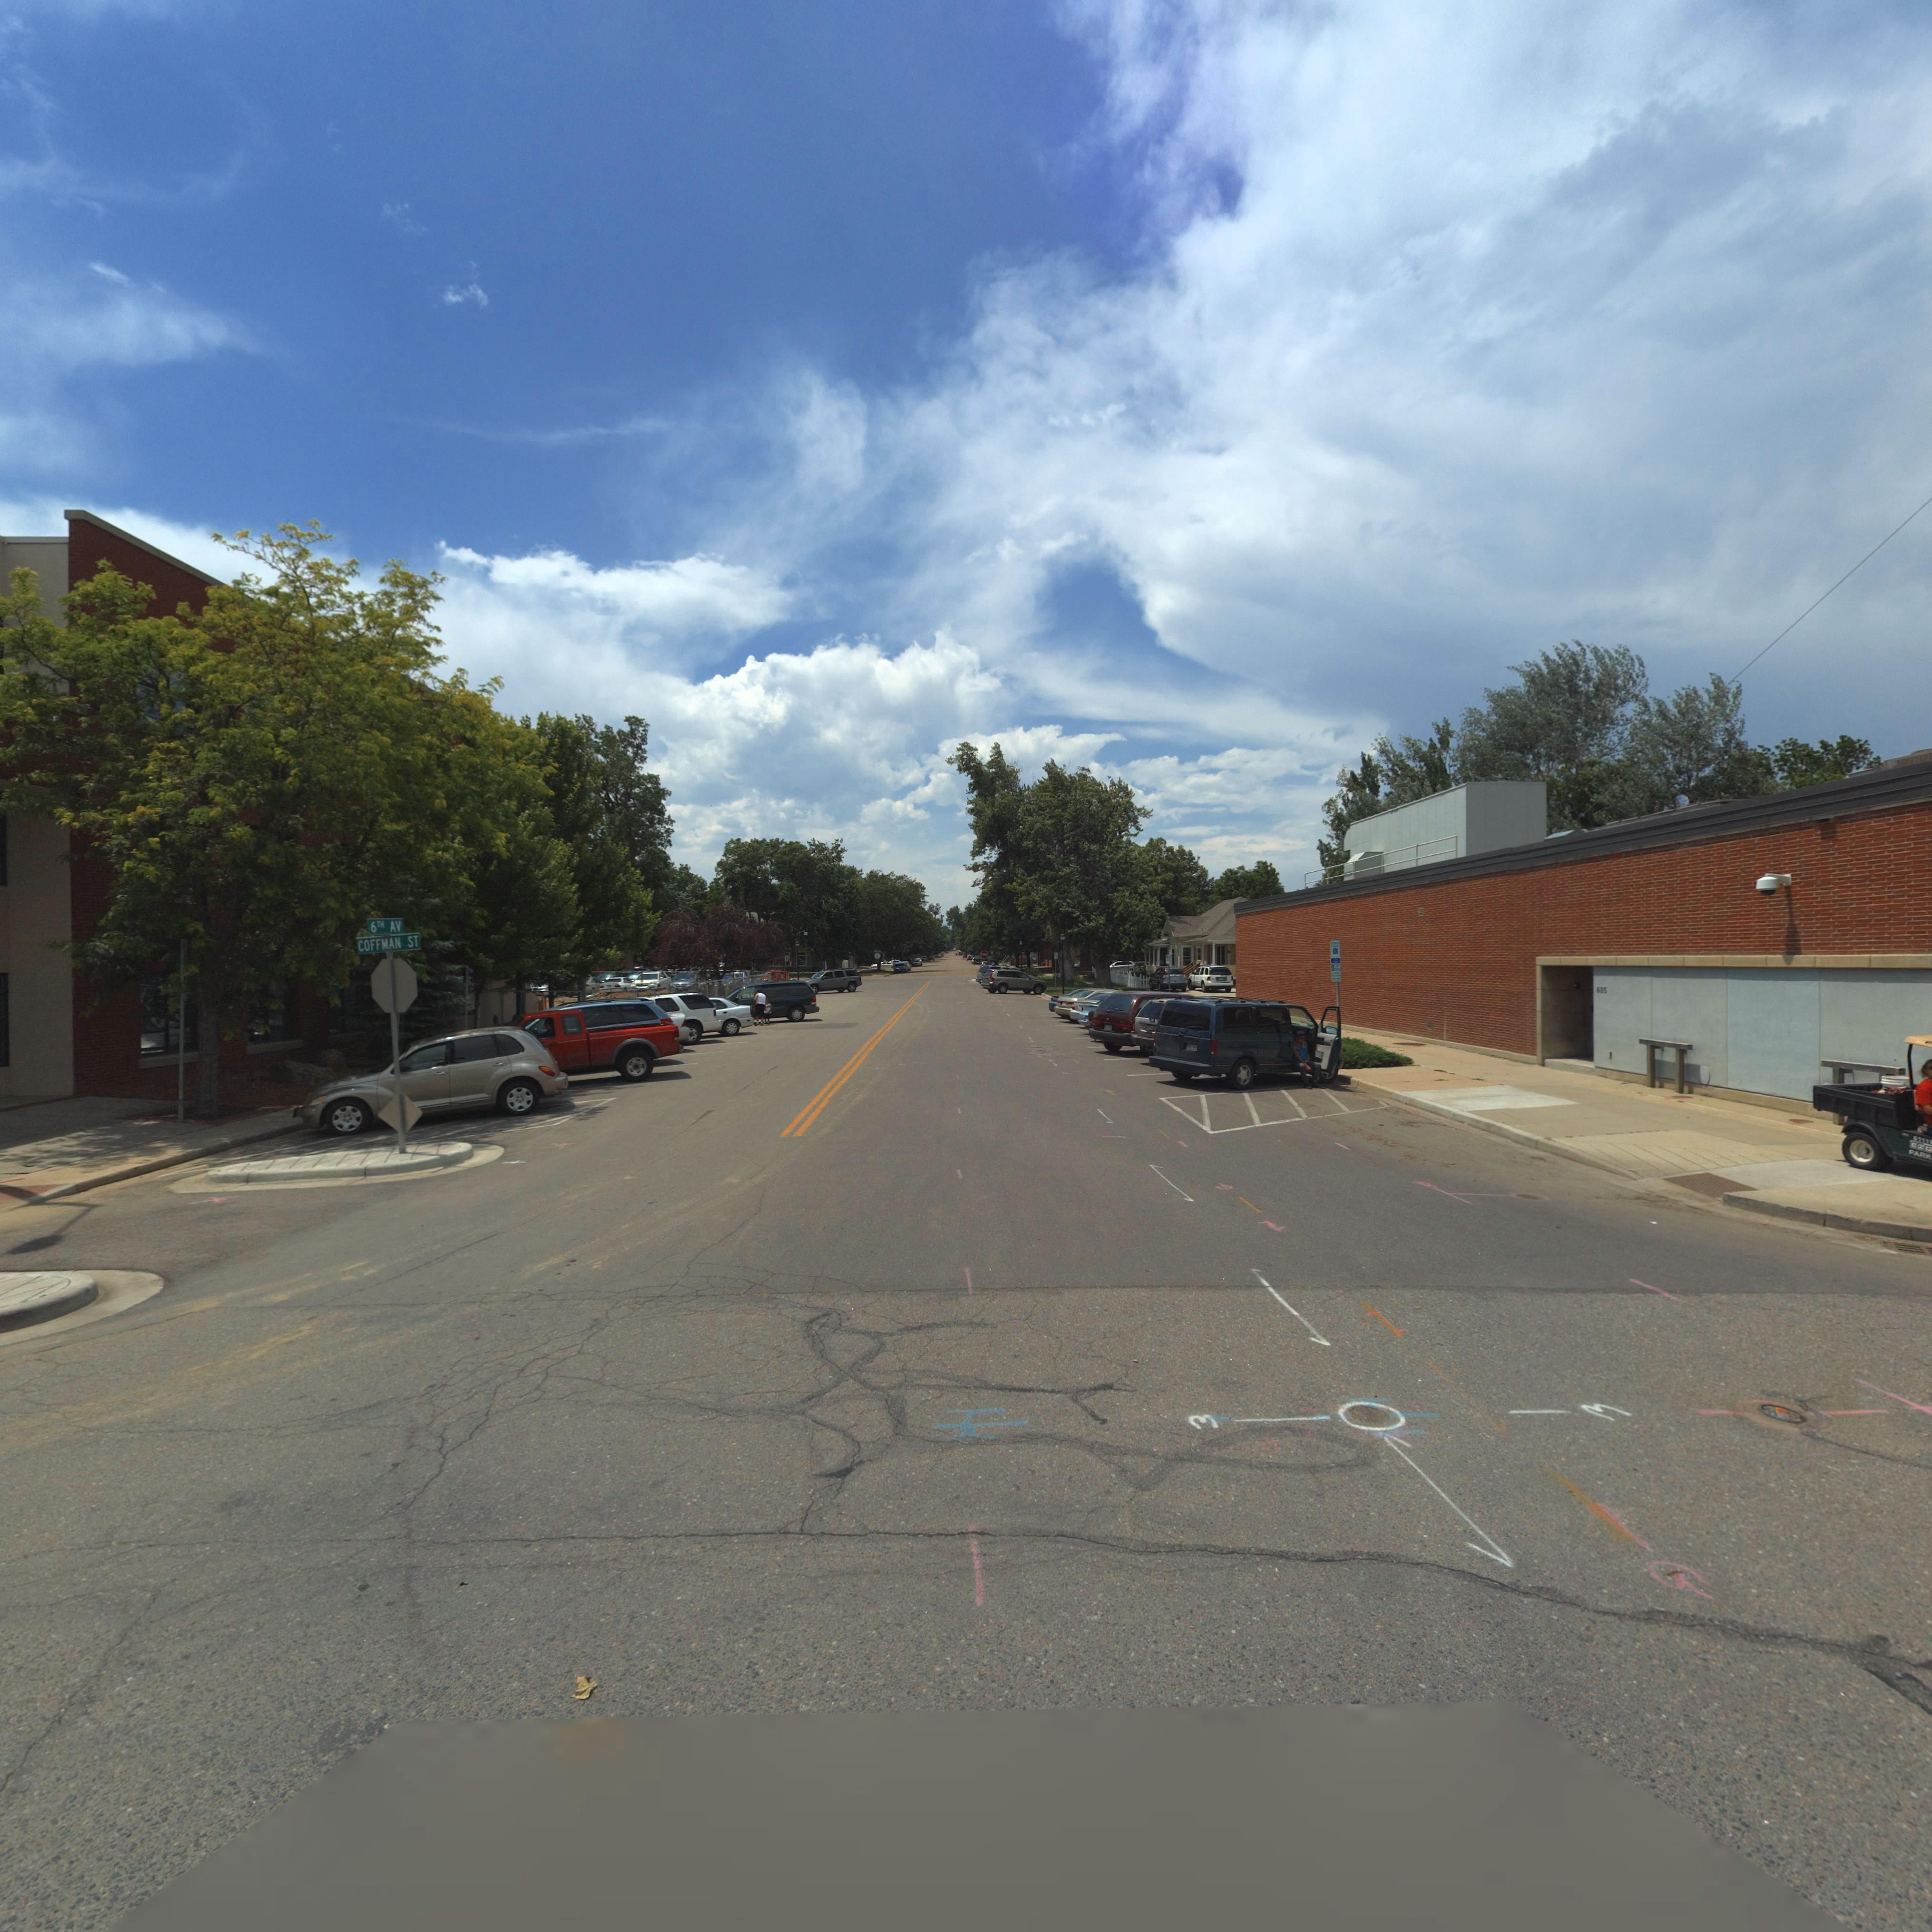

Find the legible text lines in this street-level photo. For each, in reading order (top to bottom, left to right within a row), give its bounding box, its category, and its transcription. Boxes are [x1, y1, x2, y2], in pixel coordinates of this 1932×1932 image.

[370, 920, 401, 933] StreetName: 6TH AV
[357, 935, 418, 952] StreetName: COFFMAN ST
[1596, 986, 1607, 994] StreetNumber: 605